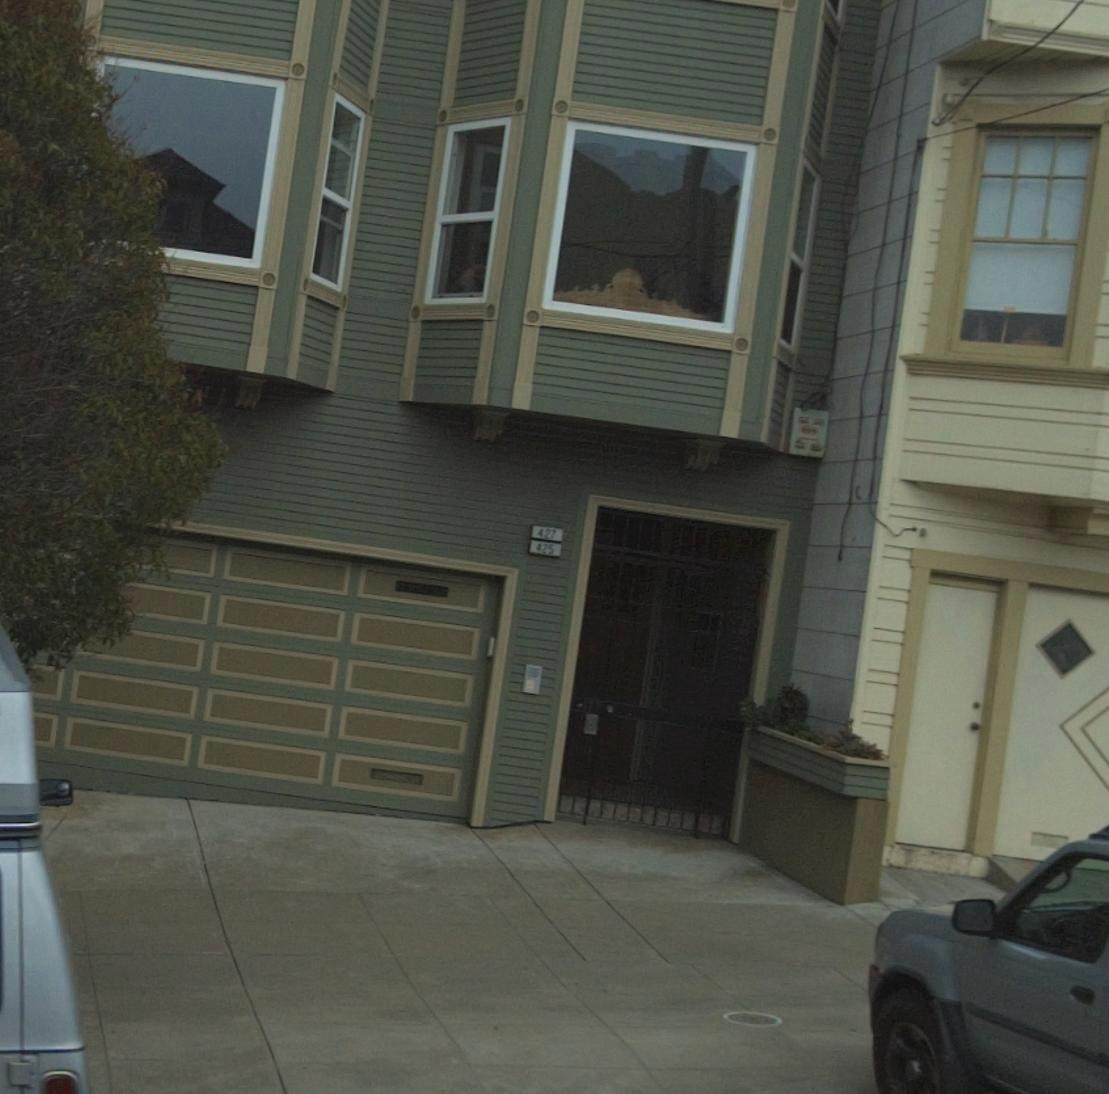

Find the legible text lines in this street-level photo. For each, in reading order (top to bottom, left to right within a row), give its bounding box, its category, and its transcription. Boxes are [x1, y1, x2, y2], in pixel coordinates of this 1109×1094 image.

[536, 527, 558, 540] StreetNumber: 427
[535, 541, 554, 555] StreetNumber: 425